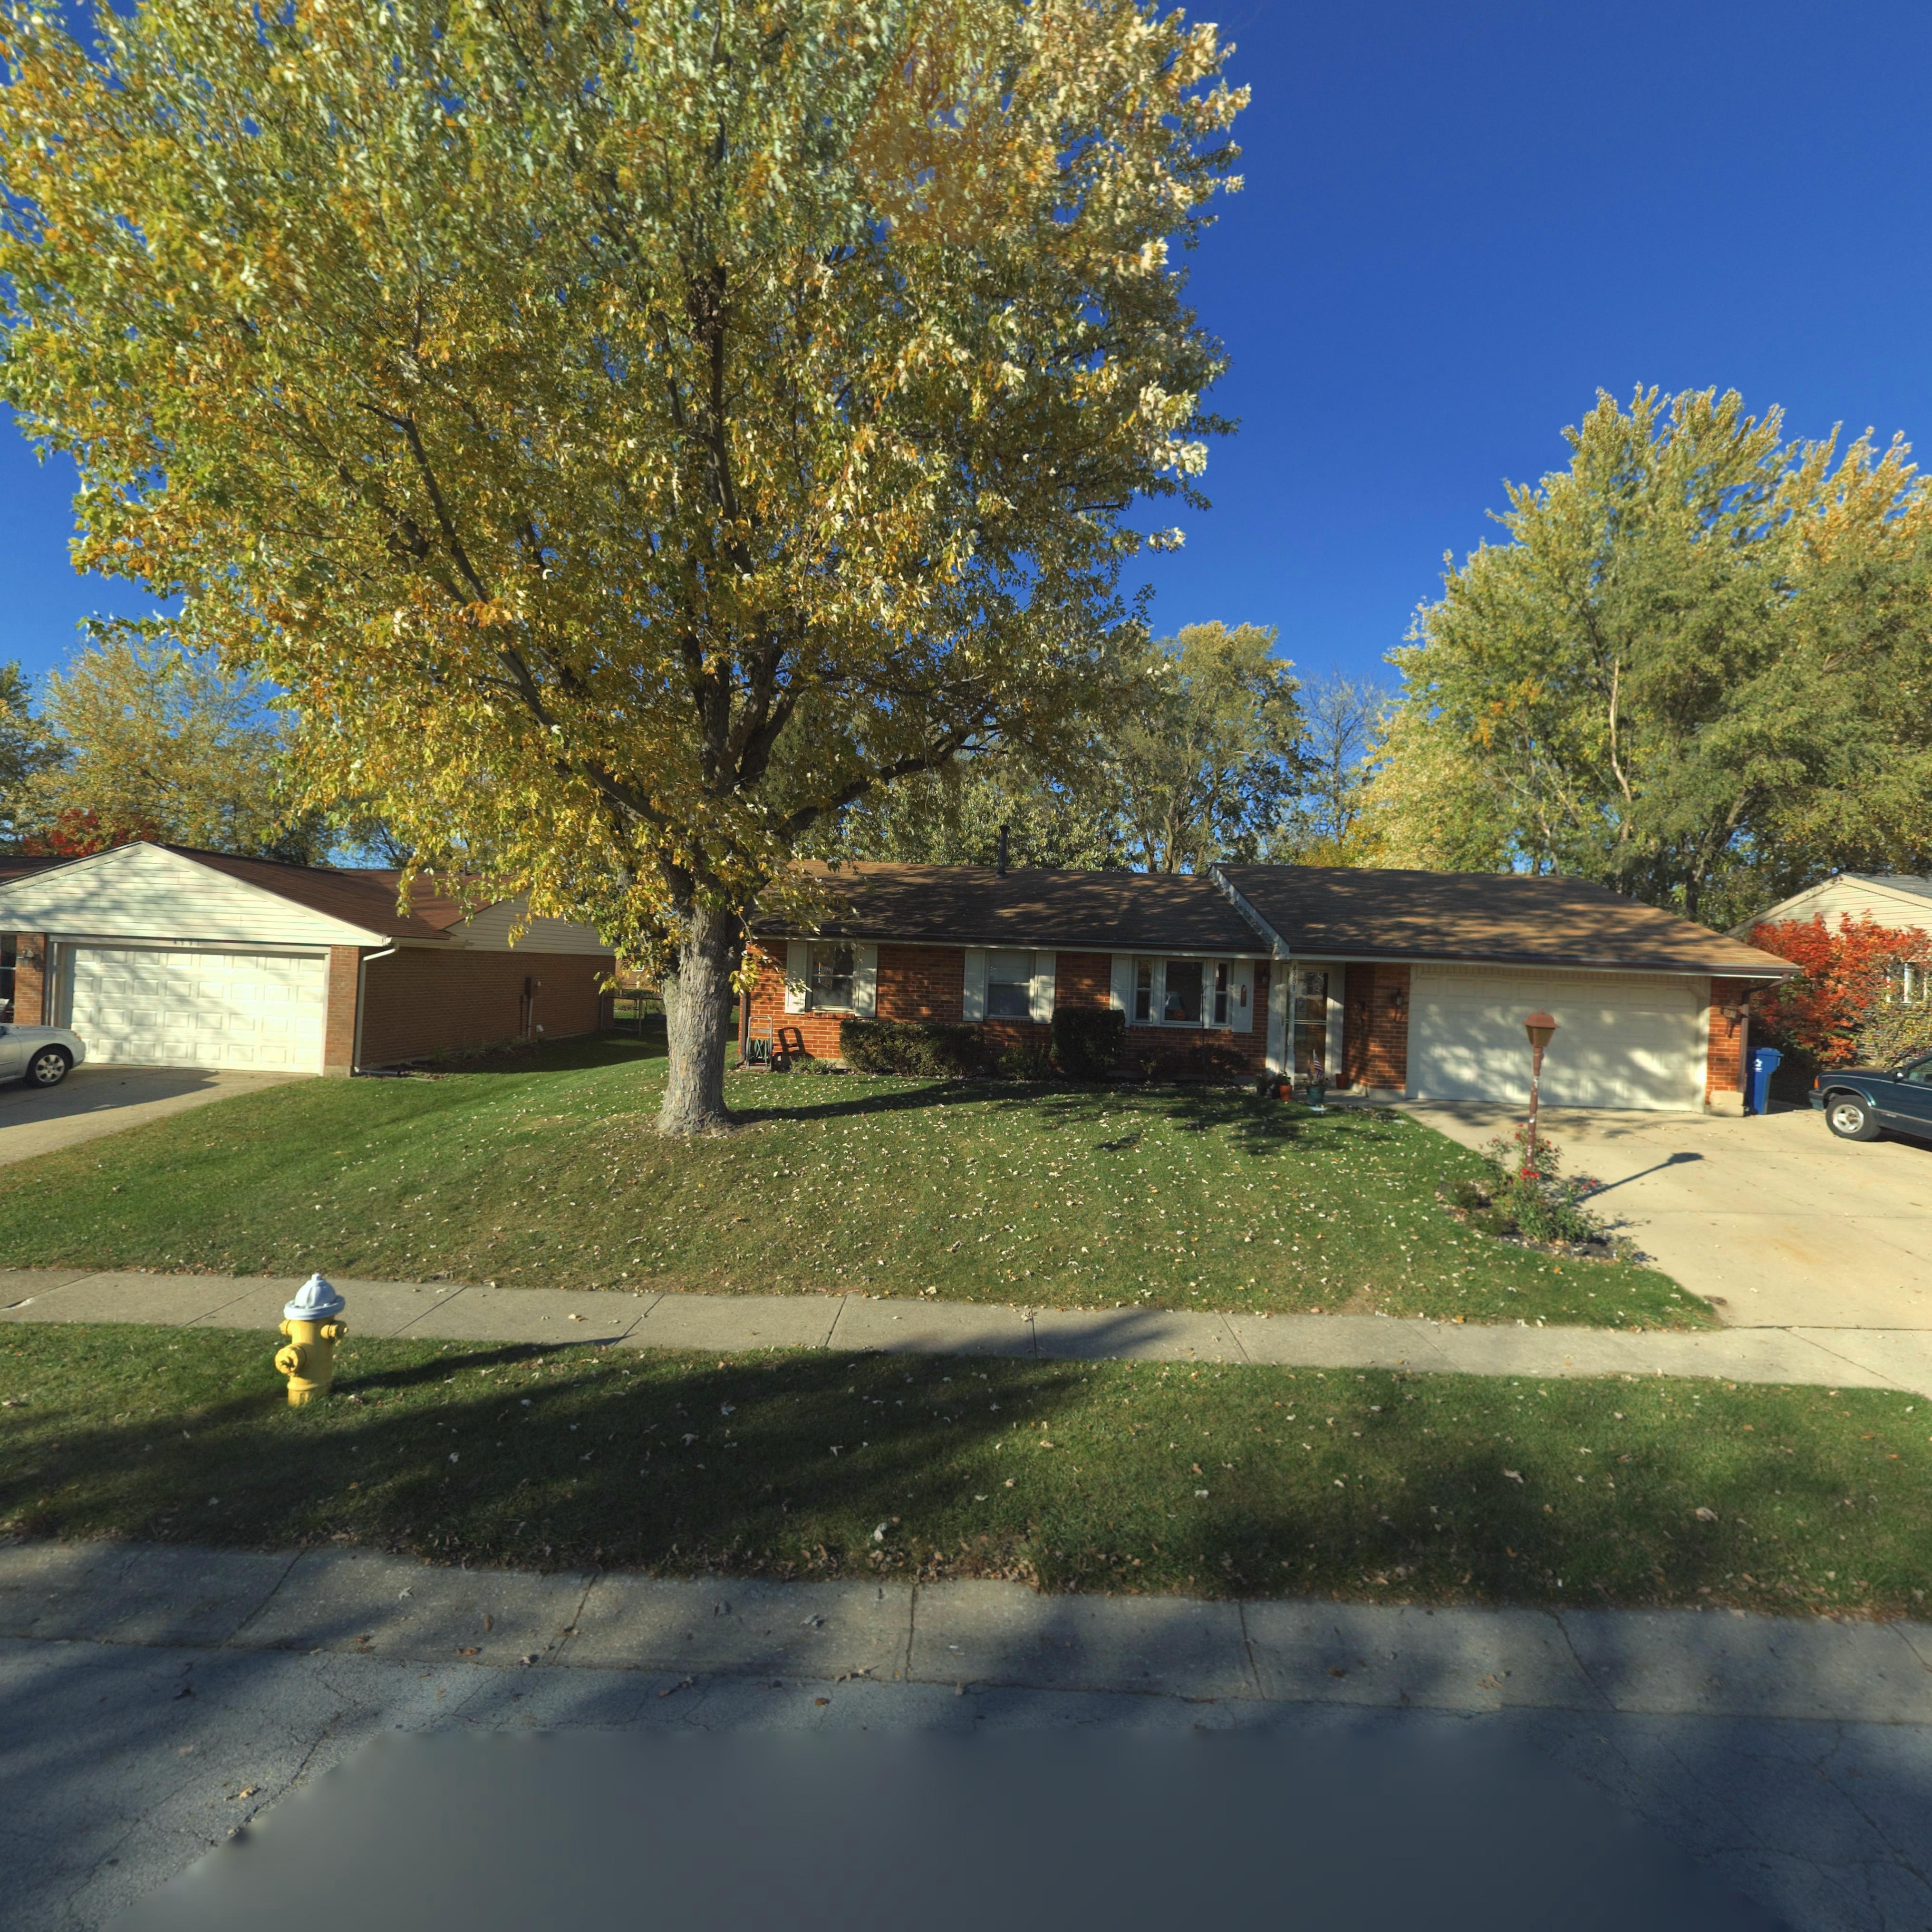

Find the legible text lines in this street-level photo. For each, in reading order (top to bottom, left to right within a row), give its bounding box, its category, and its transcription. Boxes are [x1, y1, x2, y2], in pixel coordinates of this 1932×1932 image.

[1291, 964, 1297, 992] StreetNumber: *981